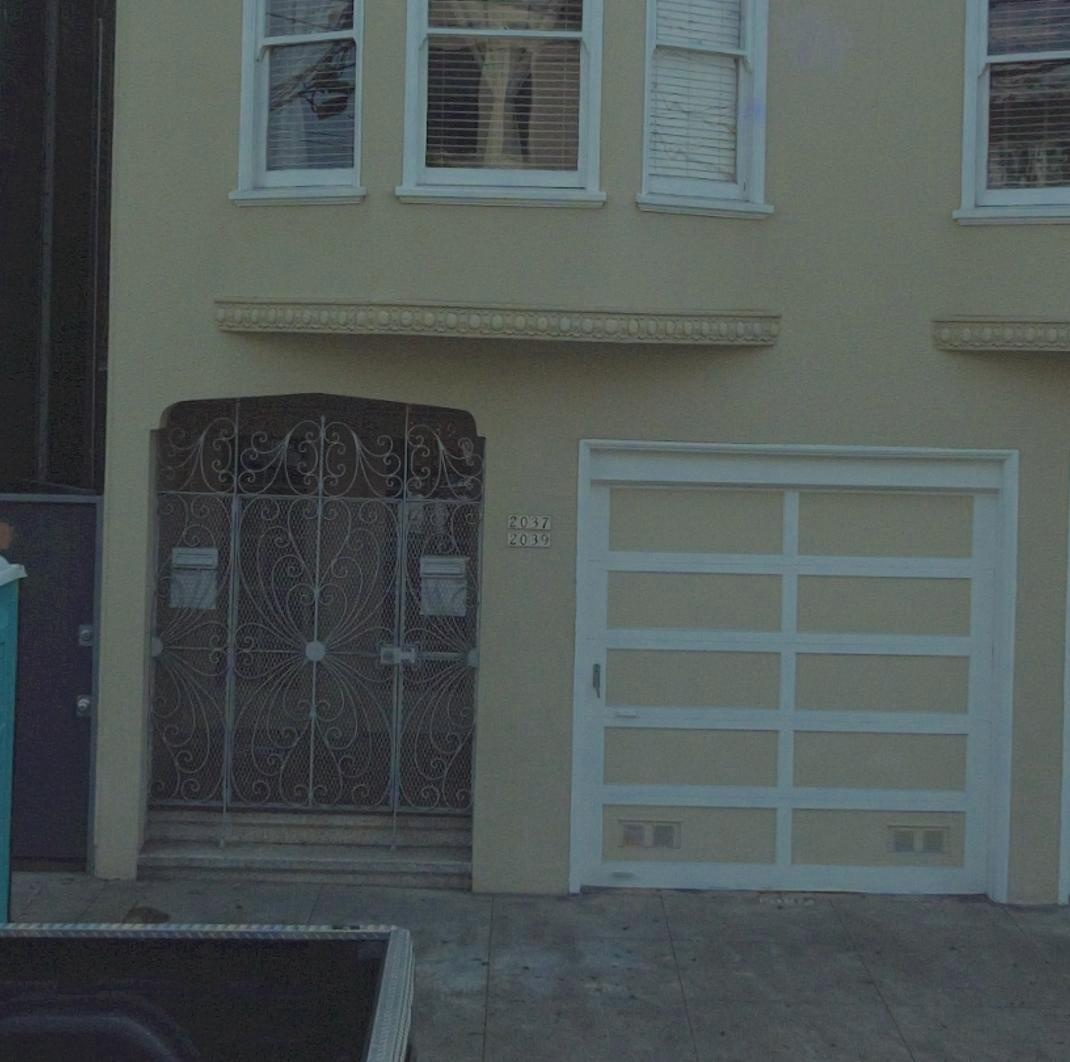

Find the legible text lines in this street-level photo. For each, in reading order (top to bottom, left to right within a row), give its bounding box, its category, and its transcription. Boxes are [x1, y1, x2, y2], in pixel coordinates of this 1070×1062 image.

[507, 514, 551, 531] StreetNumber: 2037
[507, 531, 551, 548] StreetNumber: 2039